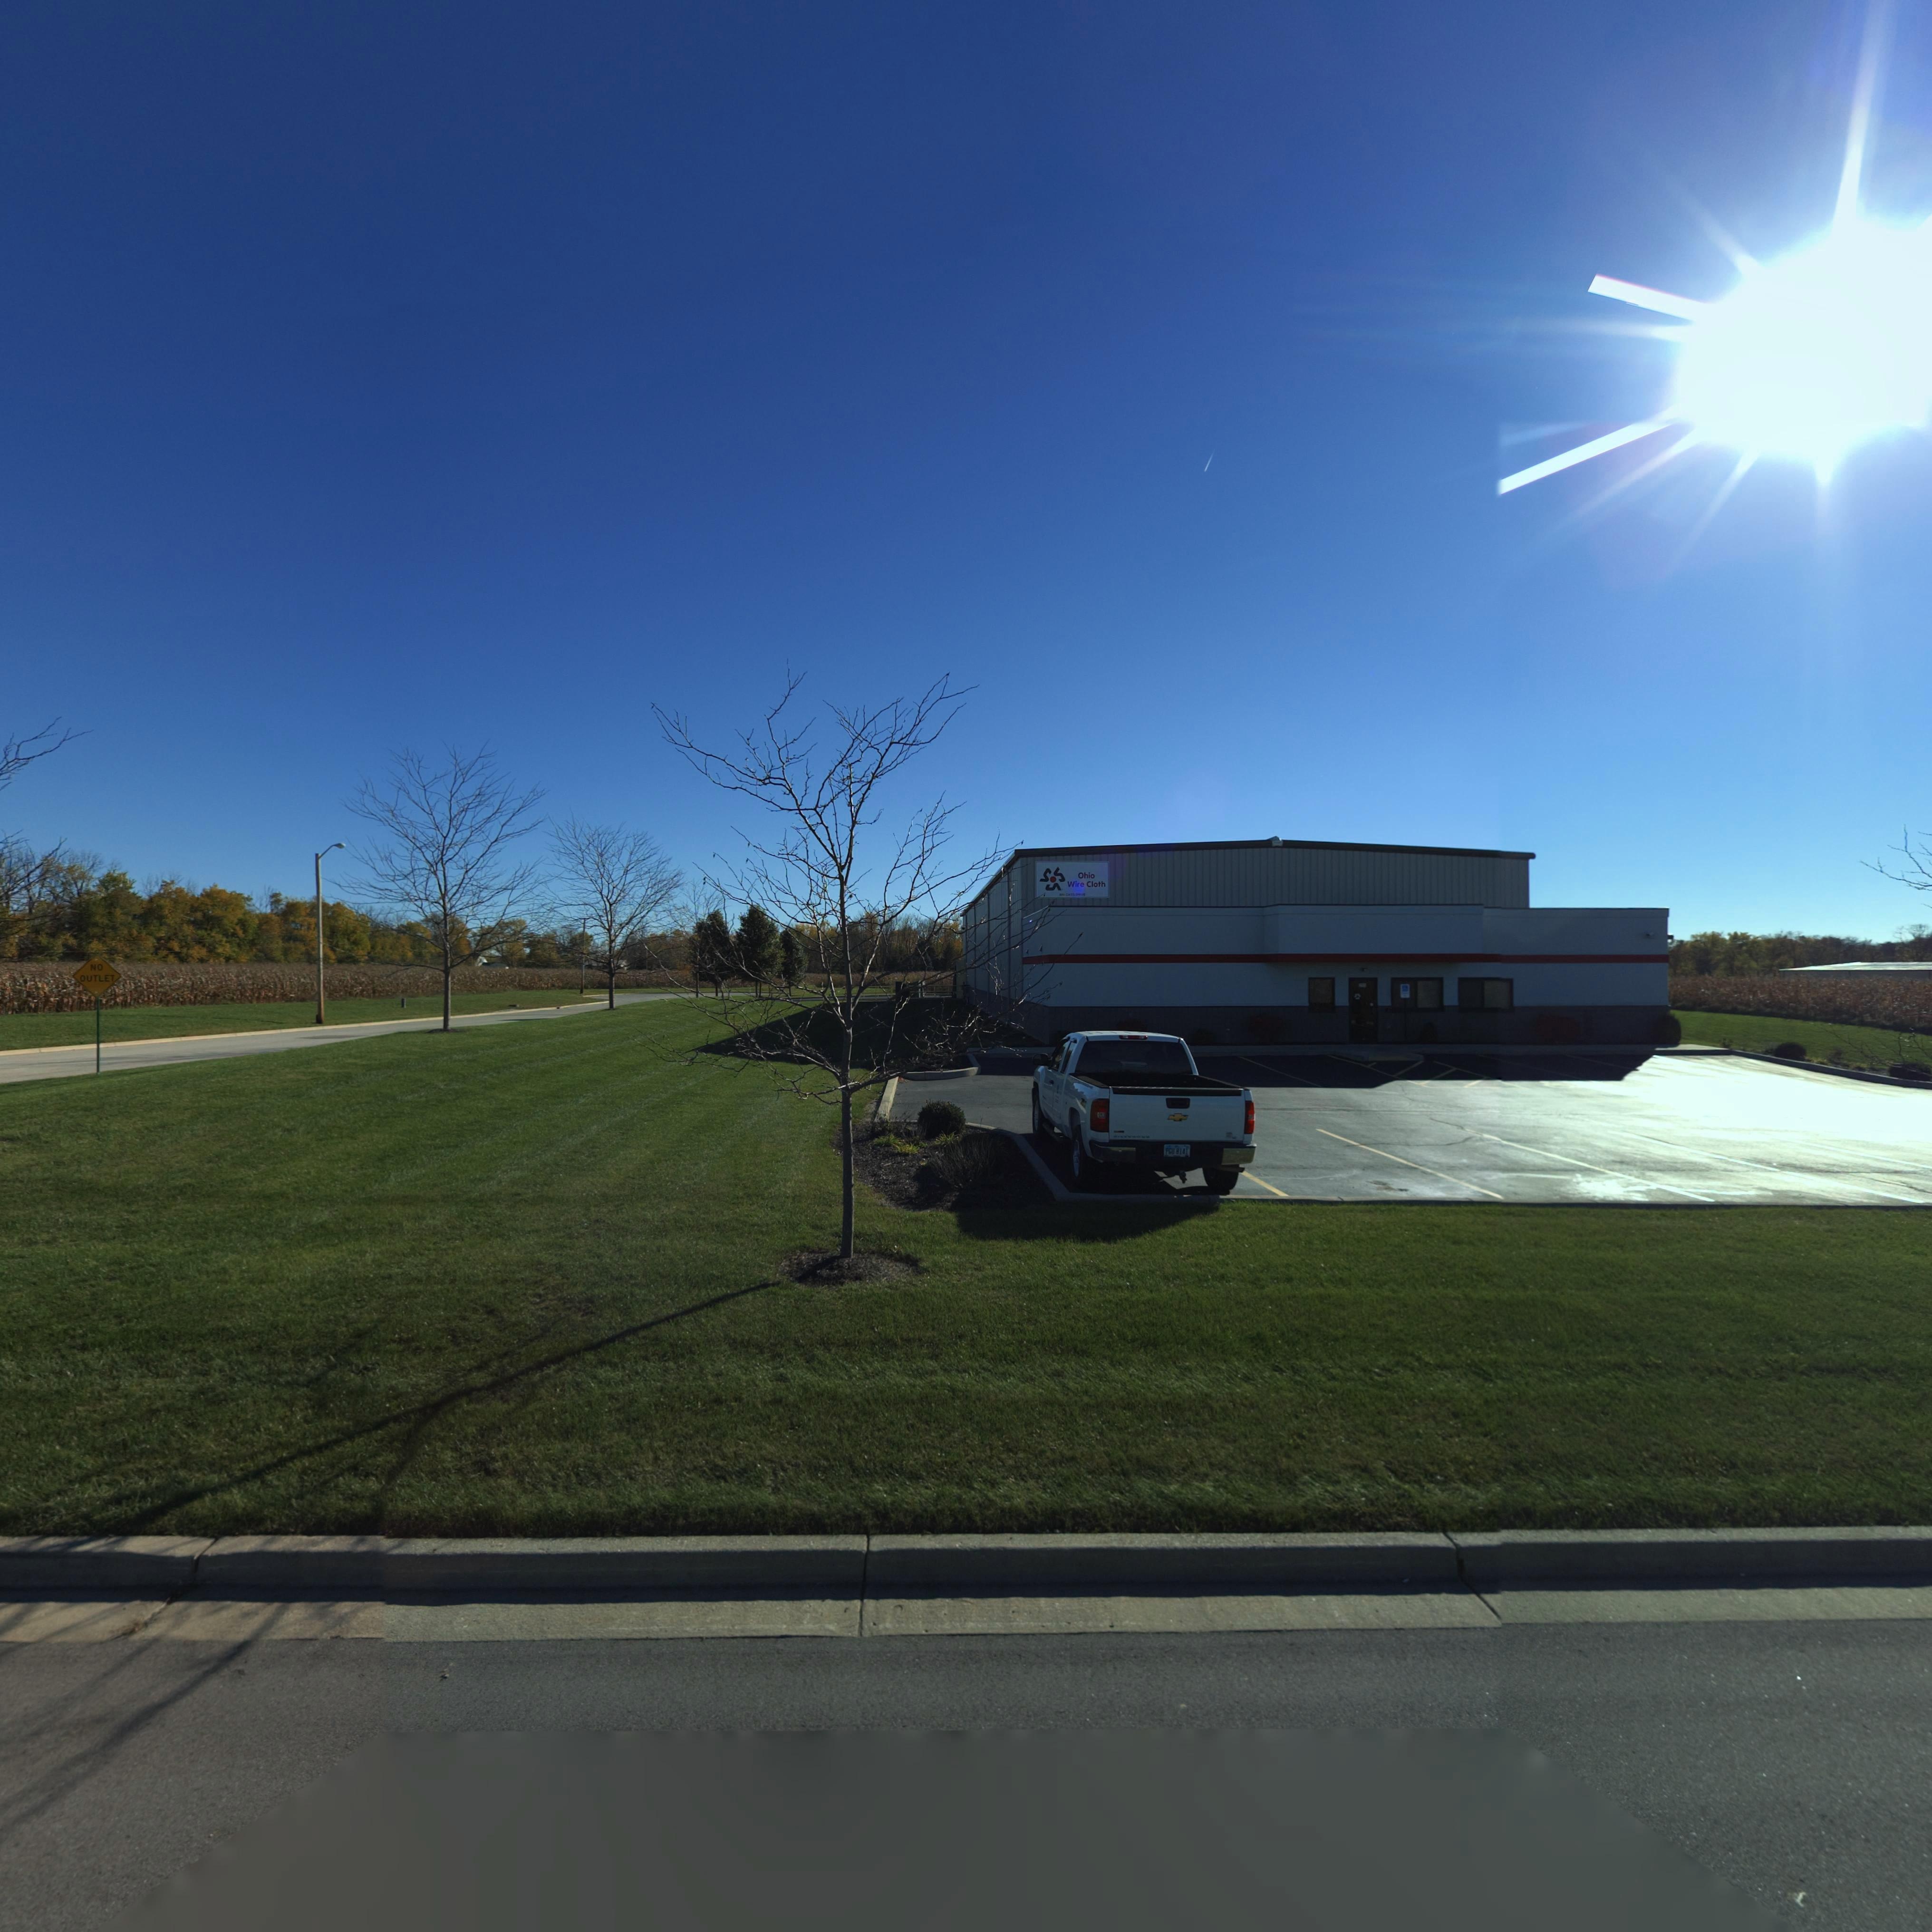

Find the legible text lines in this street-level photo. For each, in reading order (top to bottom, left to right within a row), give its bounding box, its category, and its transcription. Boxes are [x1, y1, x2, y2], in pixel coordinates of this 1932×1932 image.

[1359, 983, 1366, 987] StreetNumber: 2**